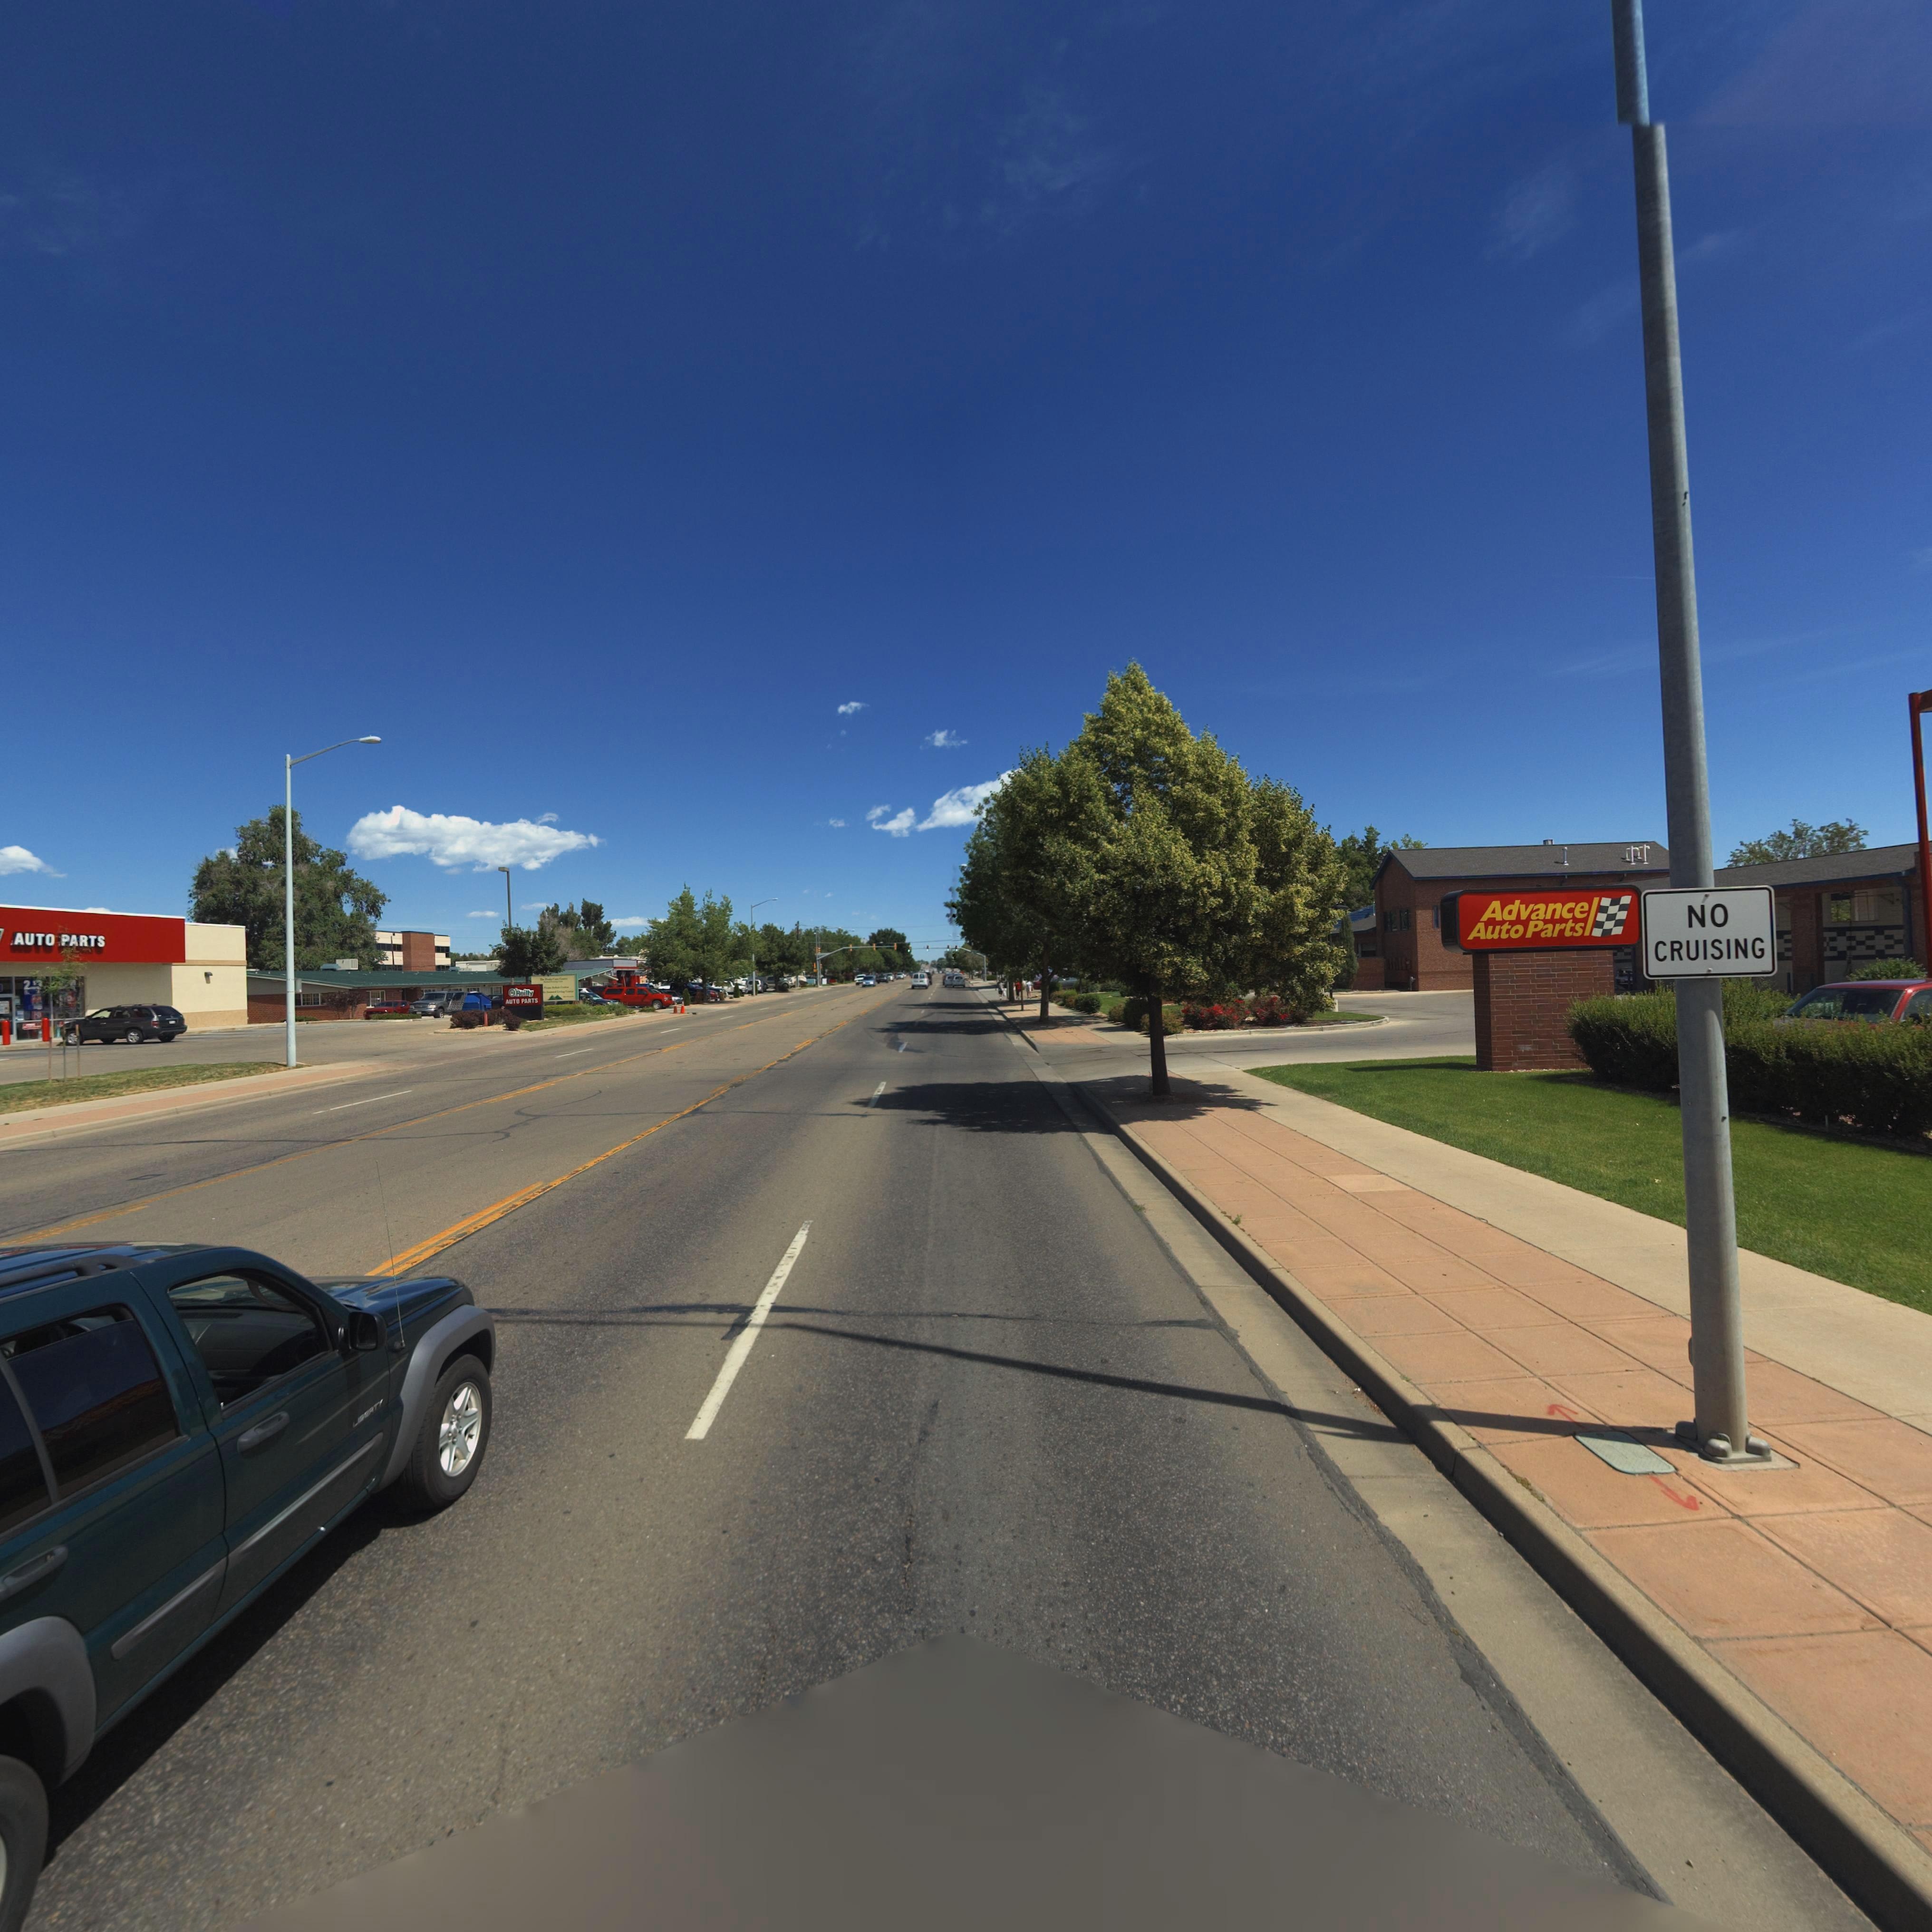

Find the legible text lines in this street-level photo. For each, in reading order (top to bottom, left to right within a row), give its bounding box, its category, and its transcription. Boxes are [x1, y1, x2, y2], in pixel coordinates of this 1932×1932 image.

[1478, 898, 1590, 921] BusinessName: Advance
[1466, 919, 1586, 940] BusinessName: Auto Parts
[12, 932, 106, 947] BusinessName: AUTO PARTS
[508, 987, 533, 997] BusinessName: *Reilly
[505, 998, 538, 1004] BusinessName: AUTO PARTS